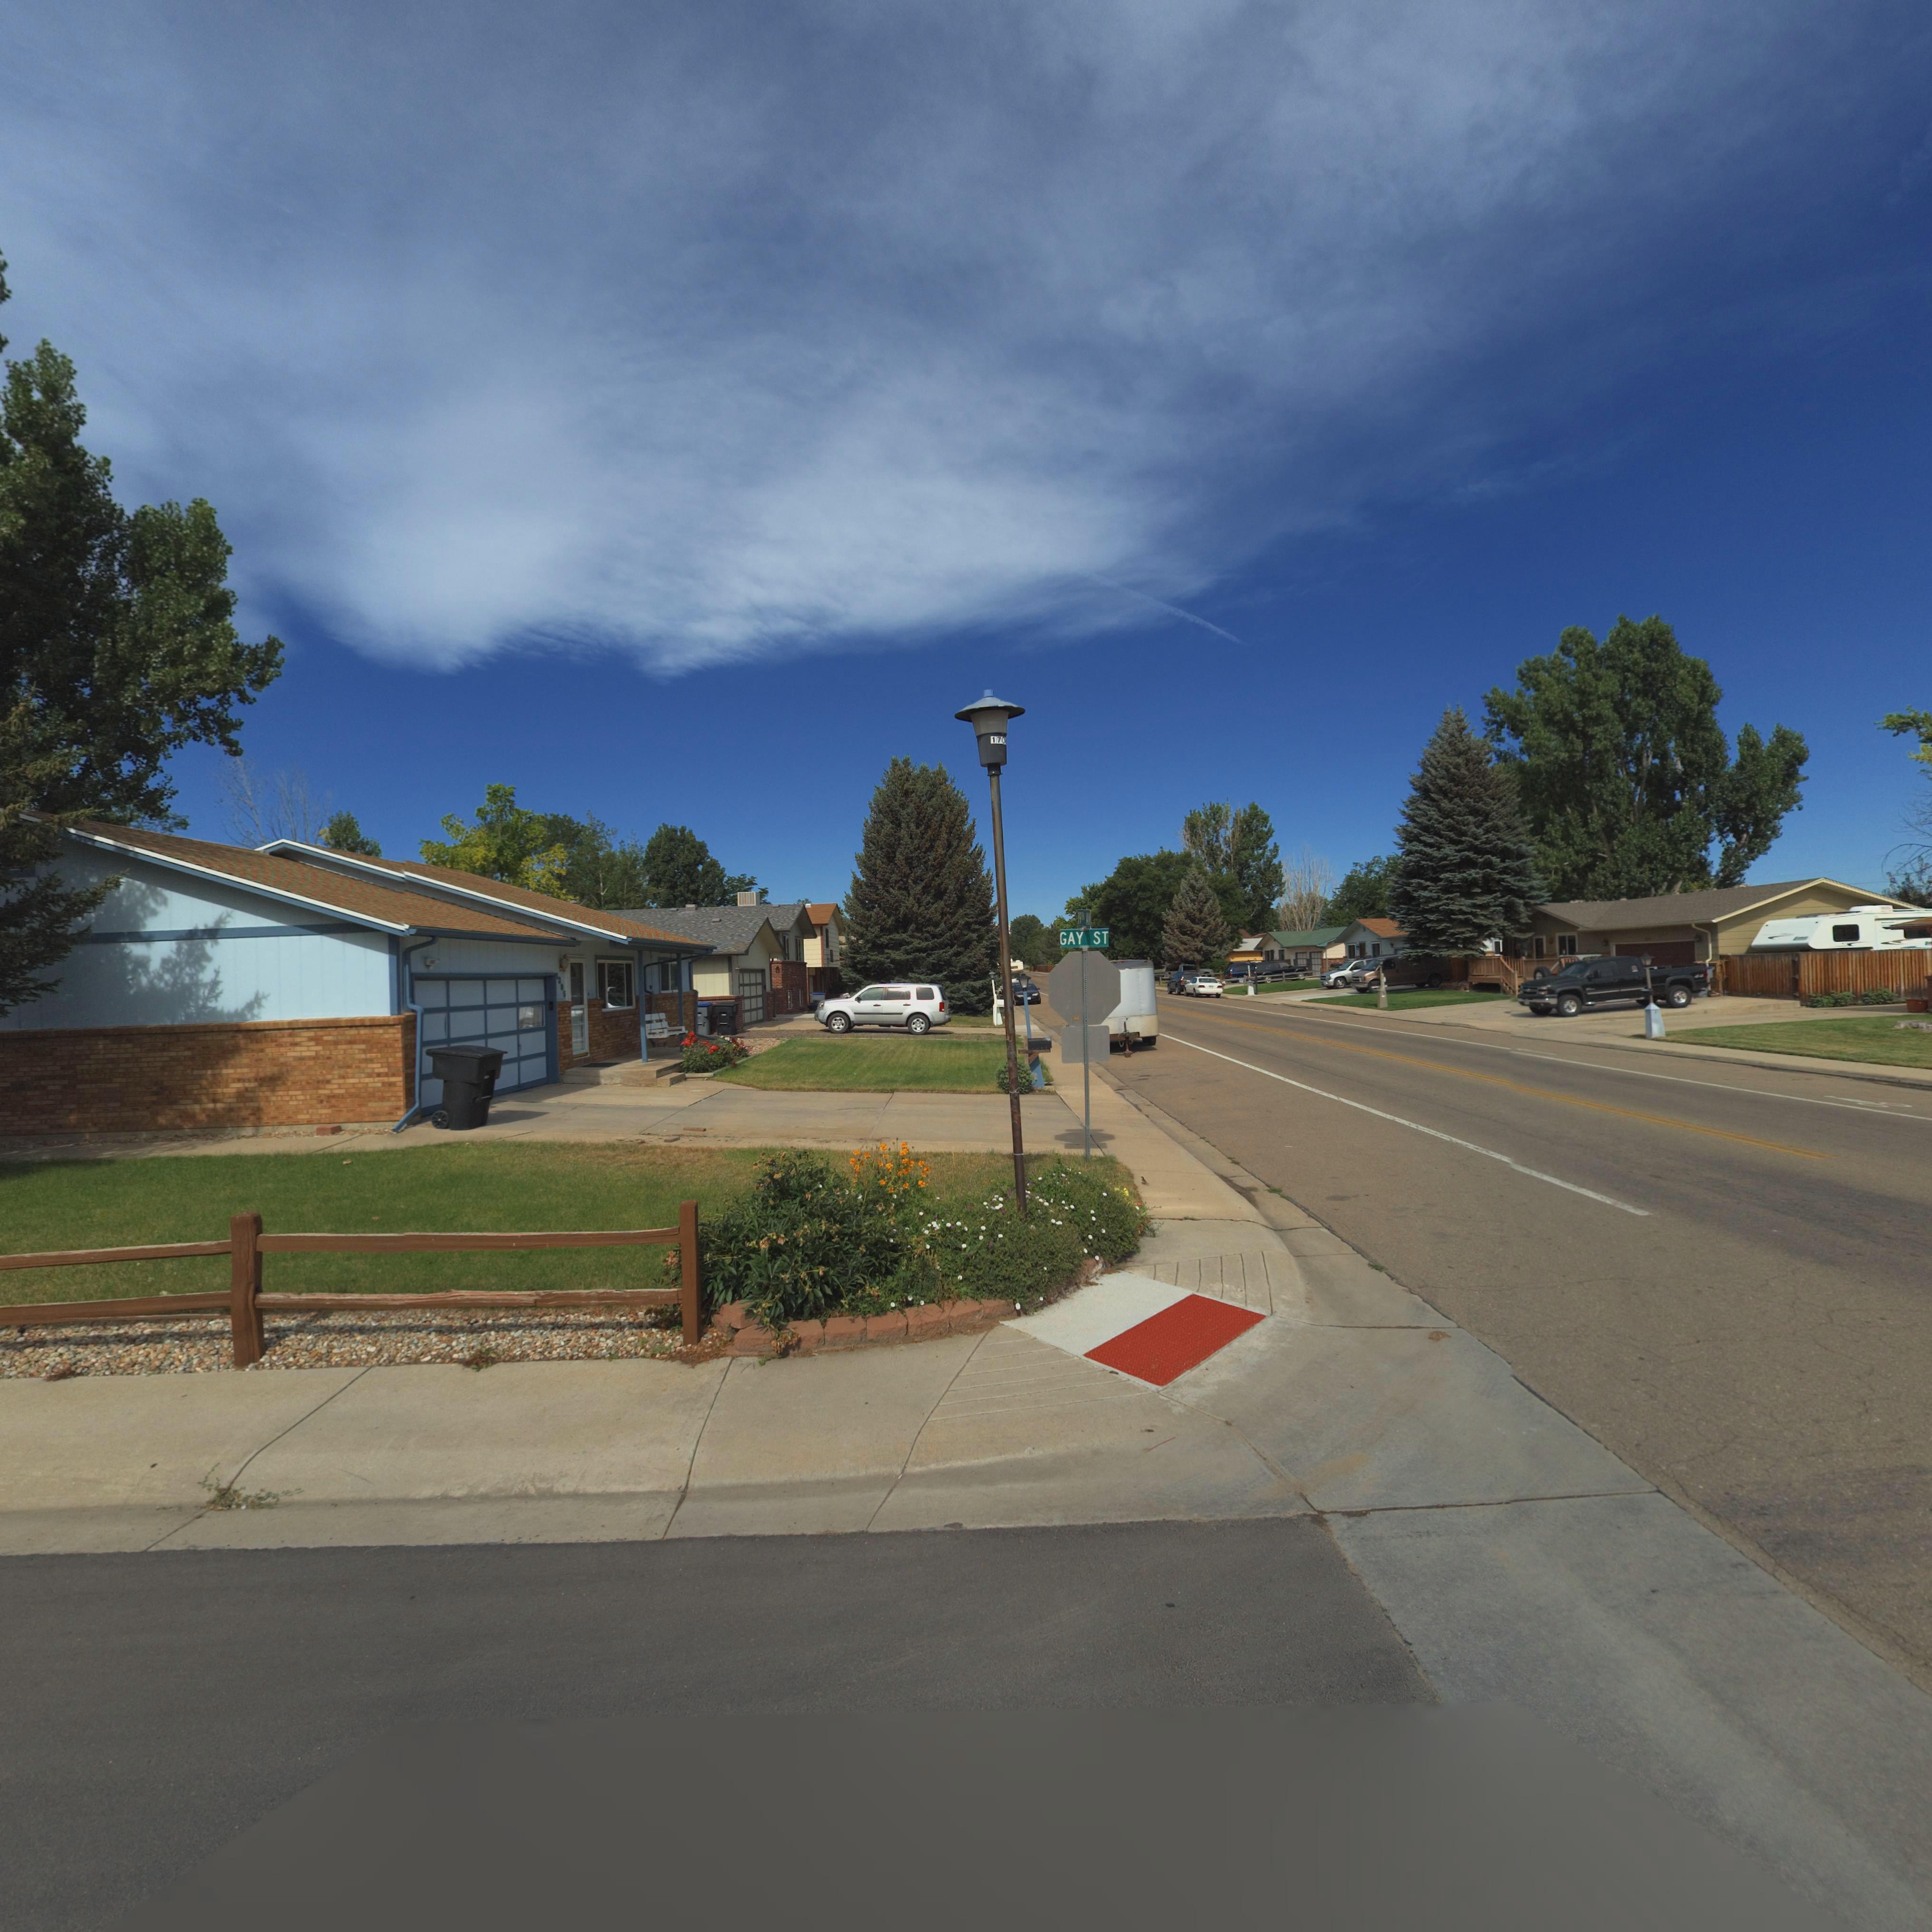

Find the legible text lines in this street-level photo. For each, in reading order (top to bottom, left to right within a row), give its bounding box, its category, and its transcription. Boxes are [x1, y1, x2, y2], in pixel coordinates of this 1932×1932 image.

[1078, 911, 1090, 926] StreetName: 19TH AV
[1060, 931, 1108, 945] StreetName: GAY ST
[556, 972, 566, 997] StreetNumber: 1305